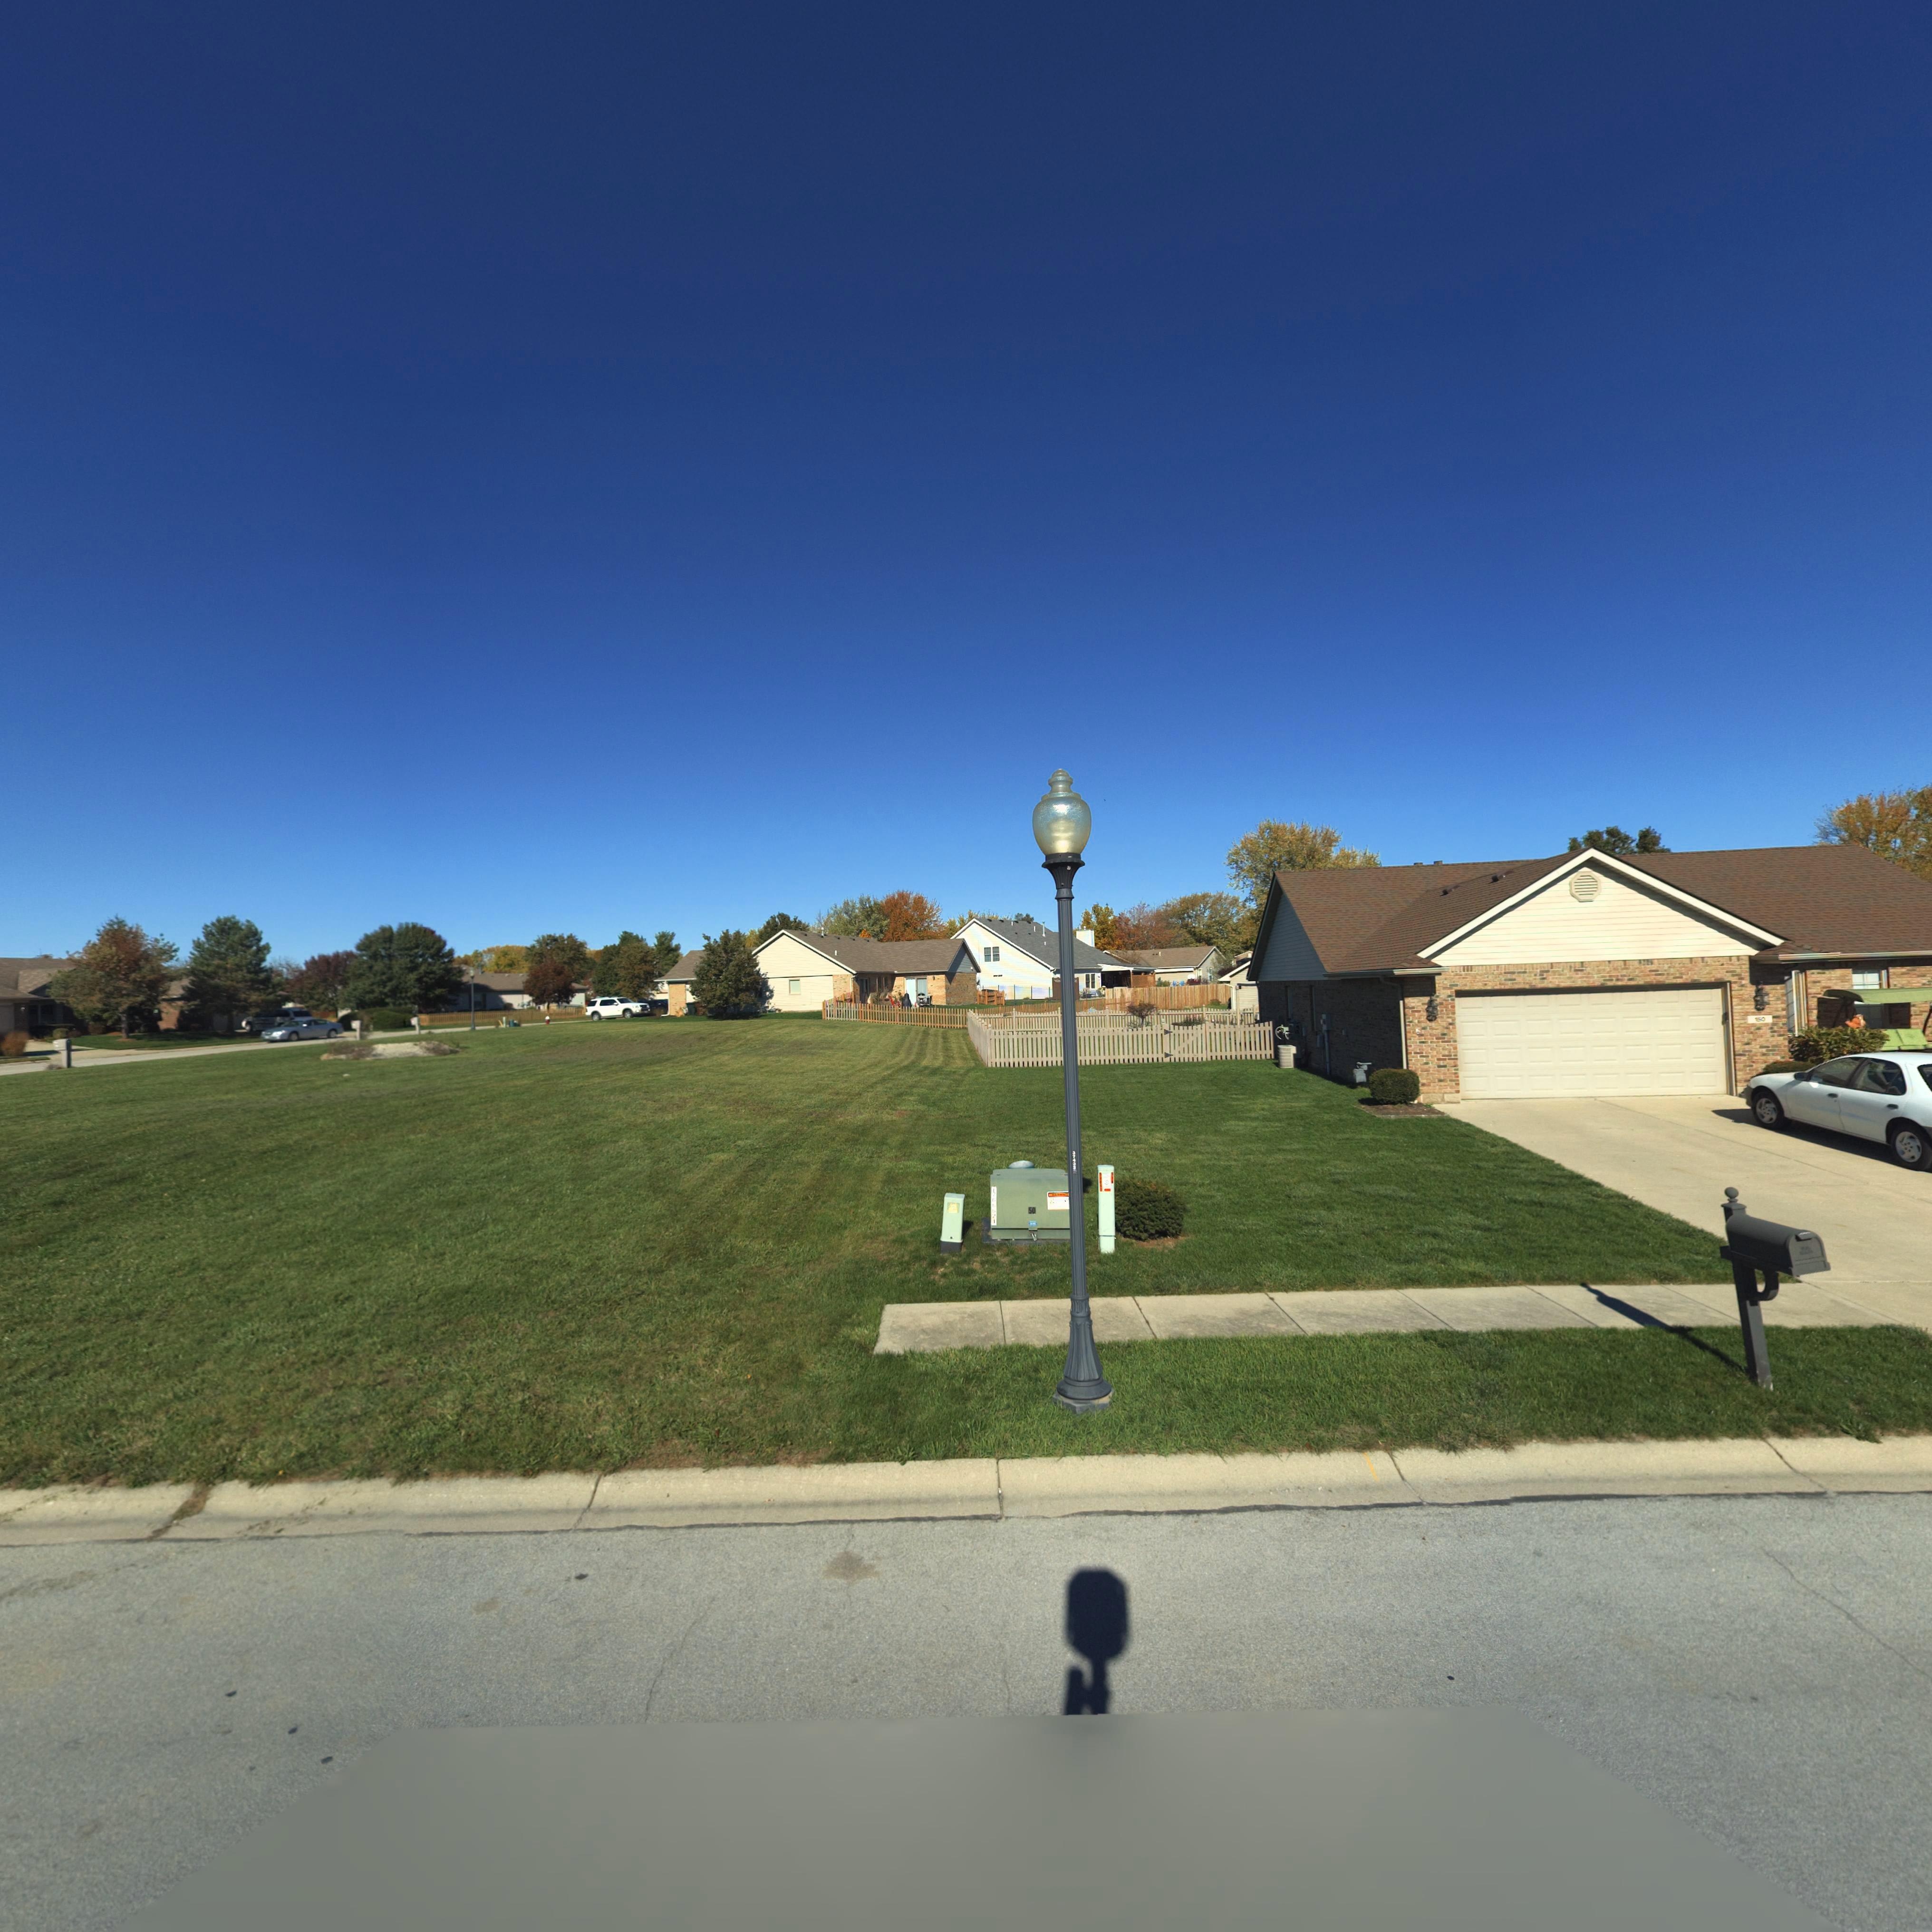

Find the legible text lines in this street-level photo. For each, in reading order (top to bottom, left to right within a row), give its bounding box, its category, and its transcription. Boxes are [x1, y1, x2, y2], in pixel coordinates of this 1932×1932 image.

[1754, 1016, 1766, 1022] StreetNumber: 150